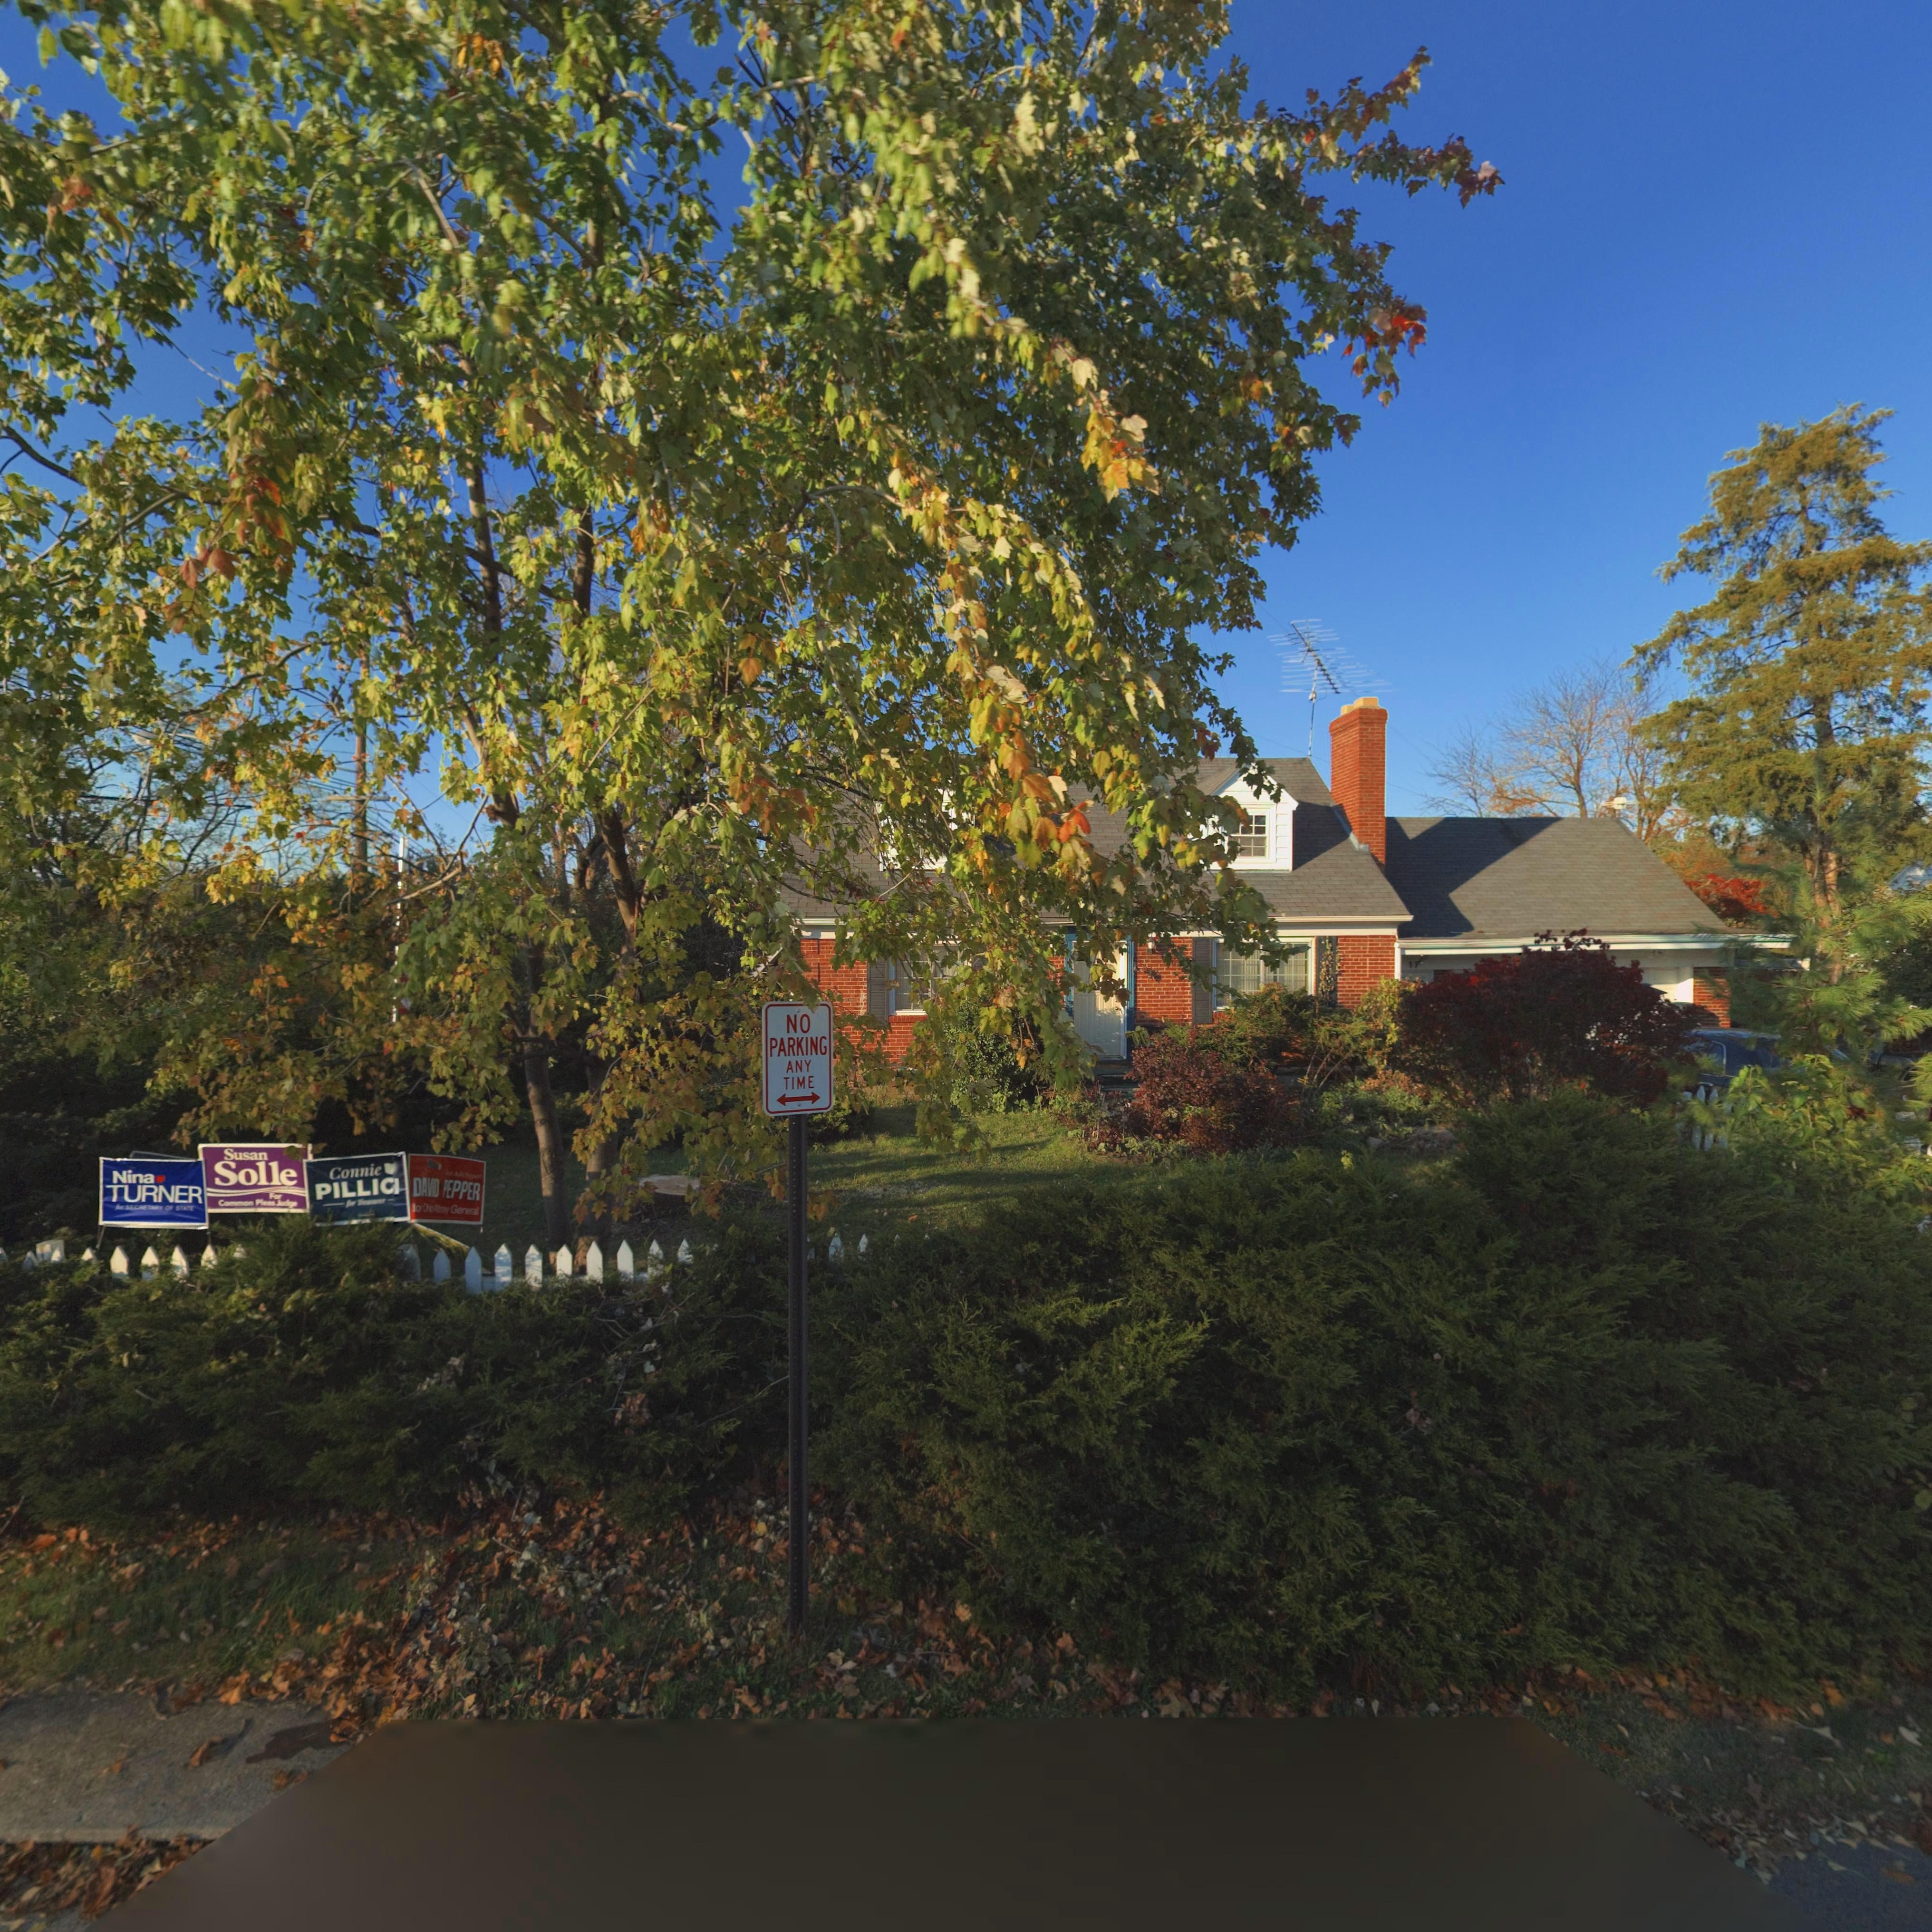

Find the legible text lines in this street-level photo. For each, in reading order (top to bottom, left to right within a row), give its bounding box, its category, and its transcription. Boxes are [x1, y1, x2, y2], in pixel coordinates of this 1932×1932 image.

[1407, 960, 1420, 969] StreetNumber: 17